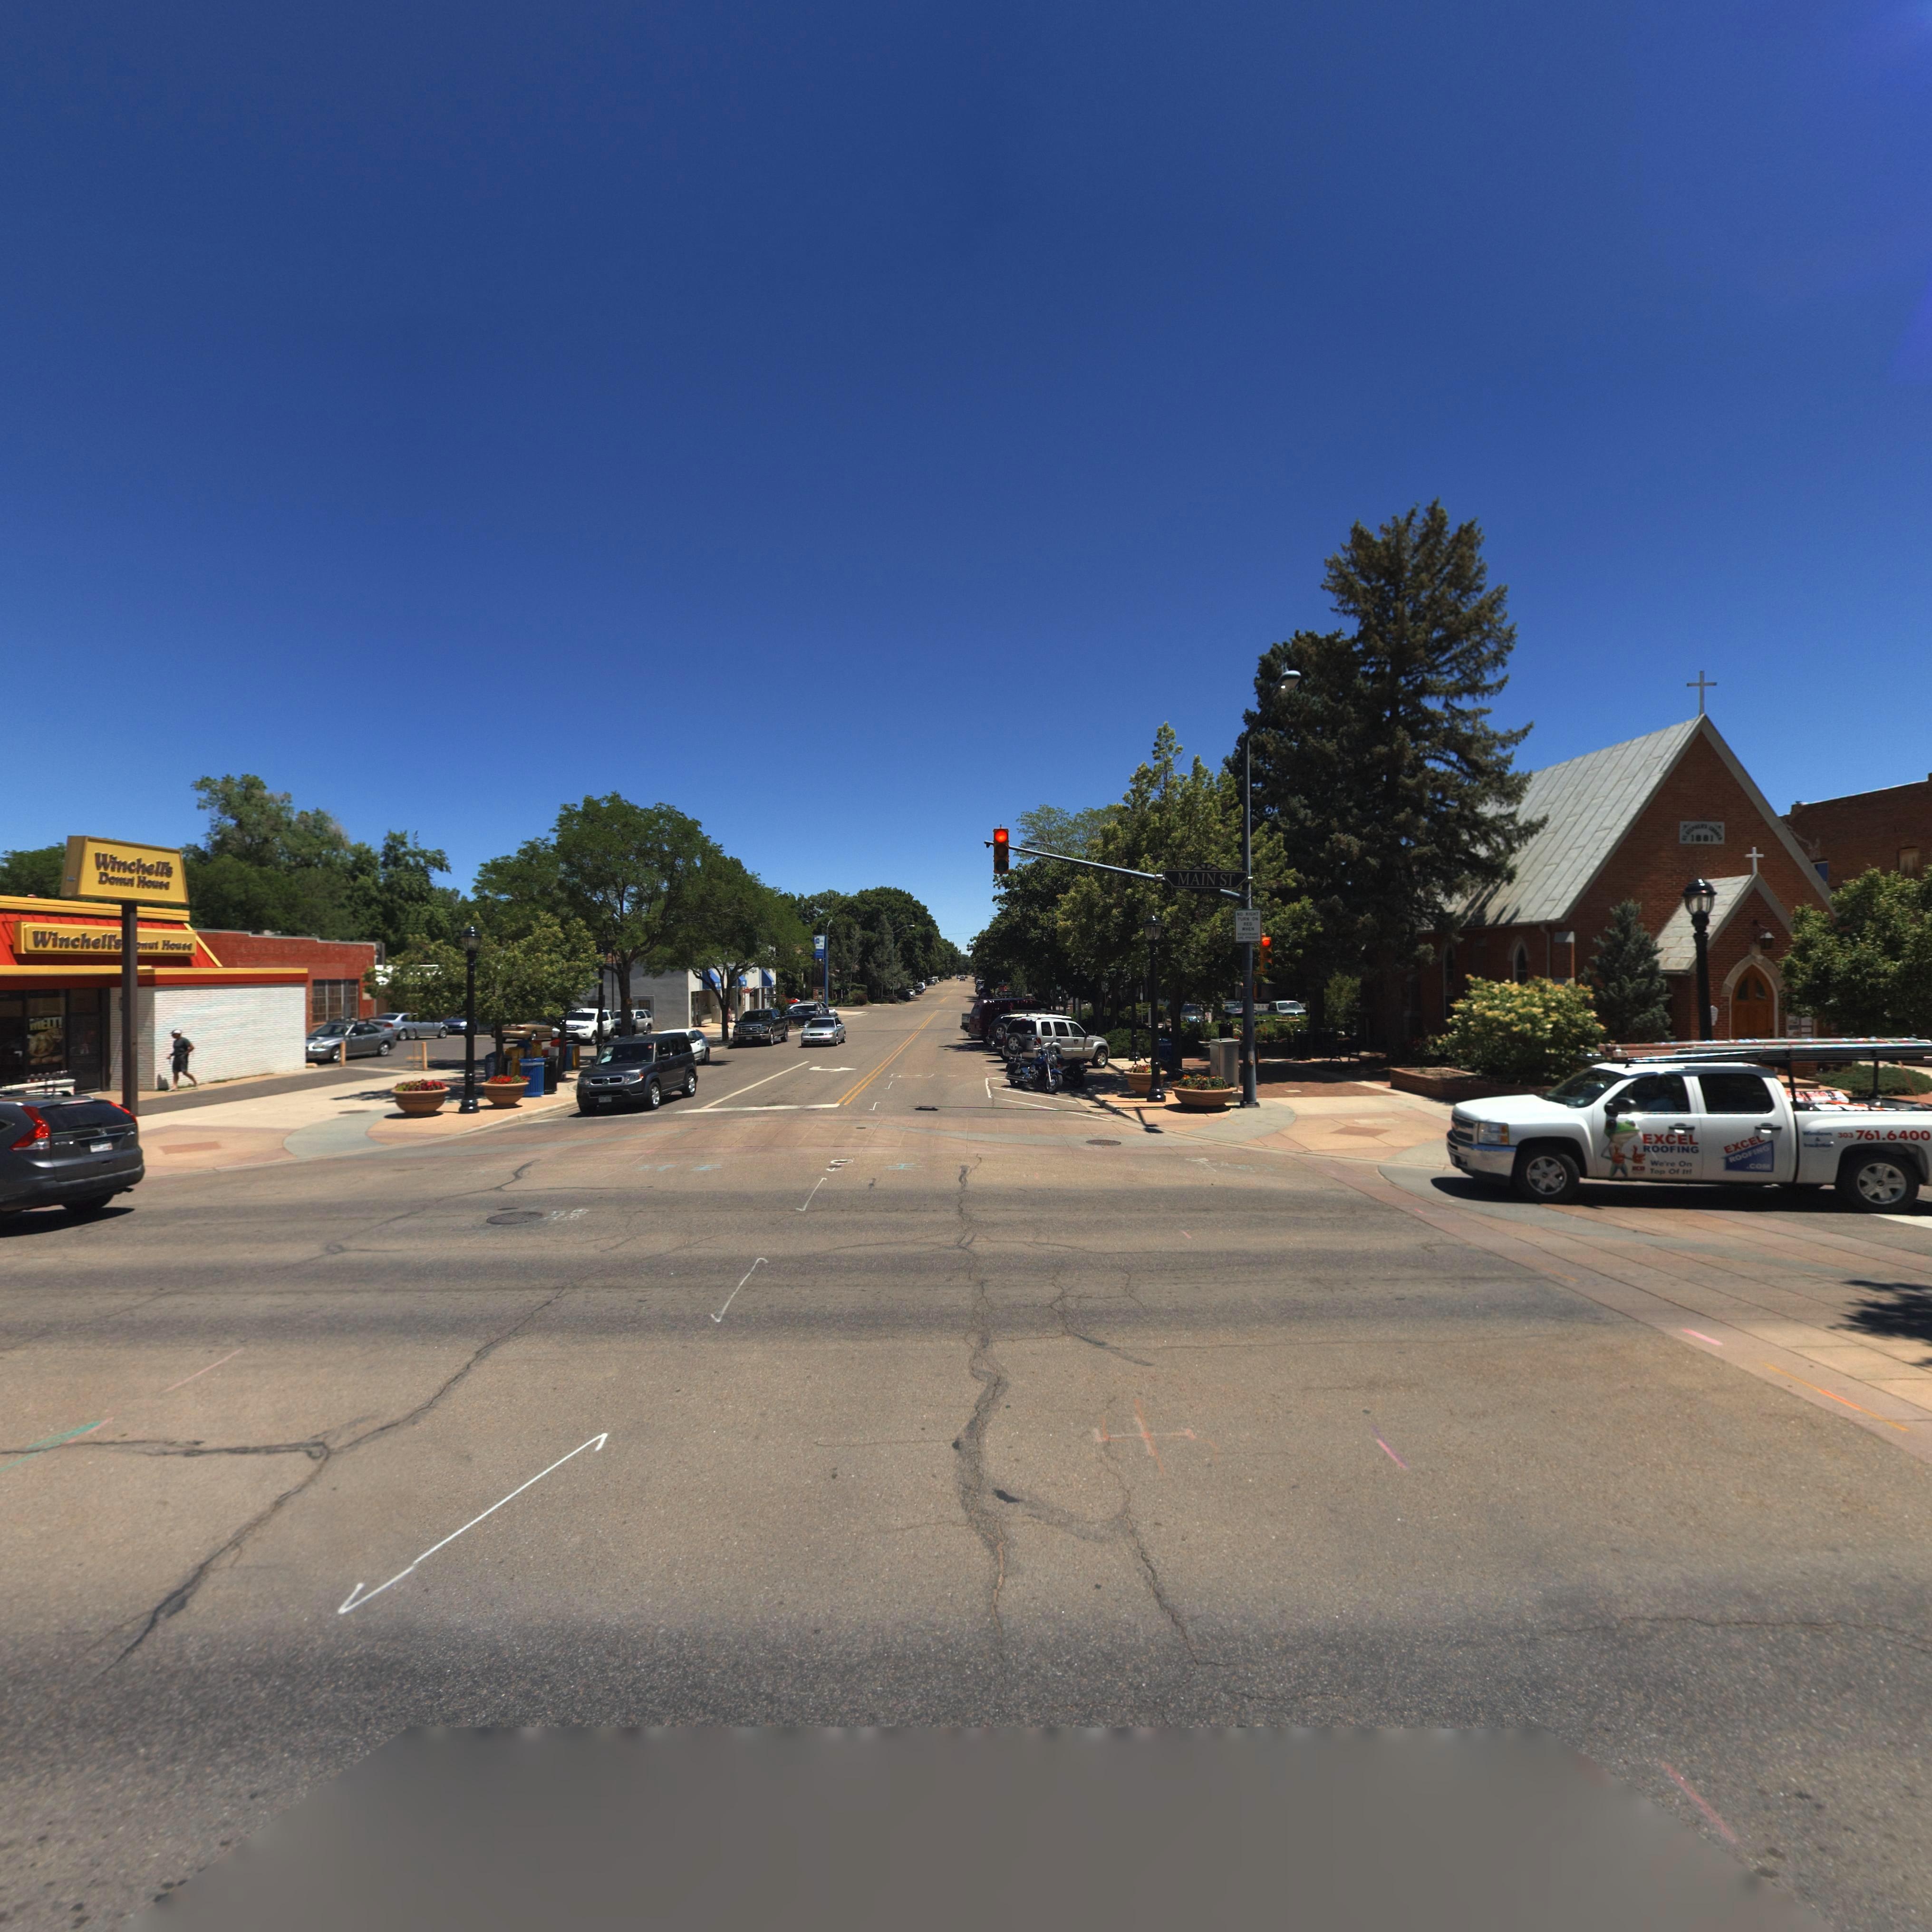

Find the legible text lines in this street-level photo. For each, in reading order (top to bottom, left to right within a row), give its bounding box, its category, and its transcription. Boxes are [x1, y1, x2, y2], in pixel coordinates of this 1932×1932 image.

[93, 851, 174, 879] BusinessName: Winchell's
[97, 871, 170, 890] BusinessName: Donut House
[1178, 872, 1236, 886] StreetName: MAIN ST
[31, 930, 193, 951] BusinessName: Winchell's **nut House